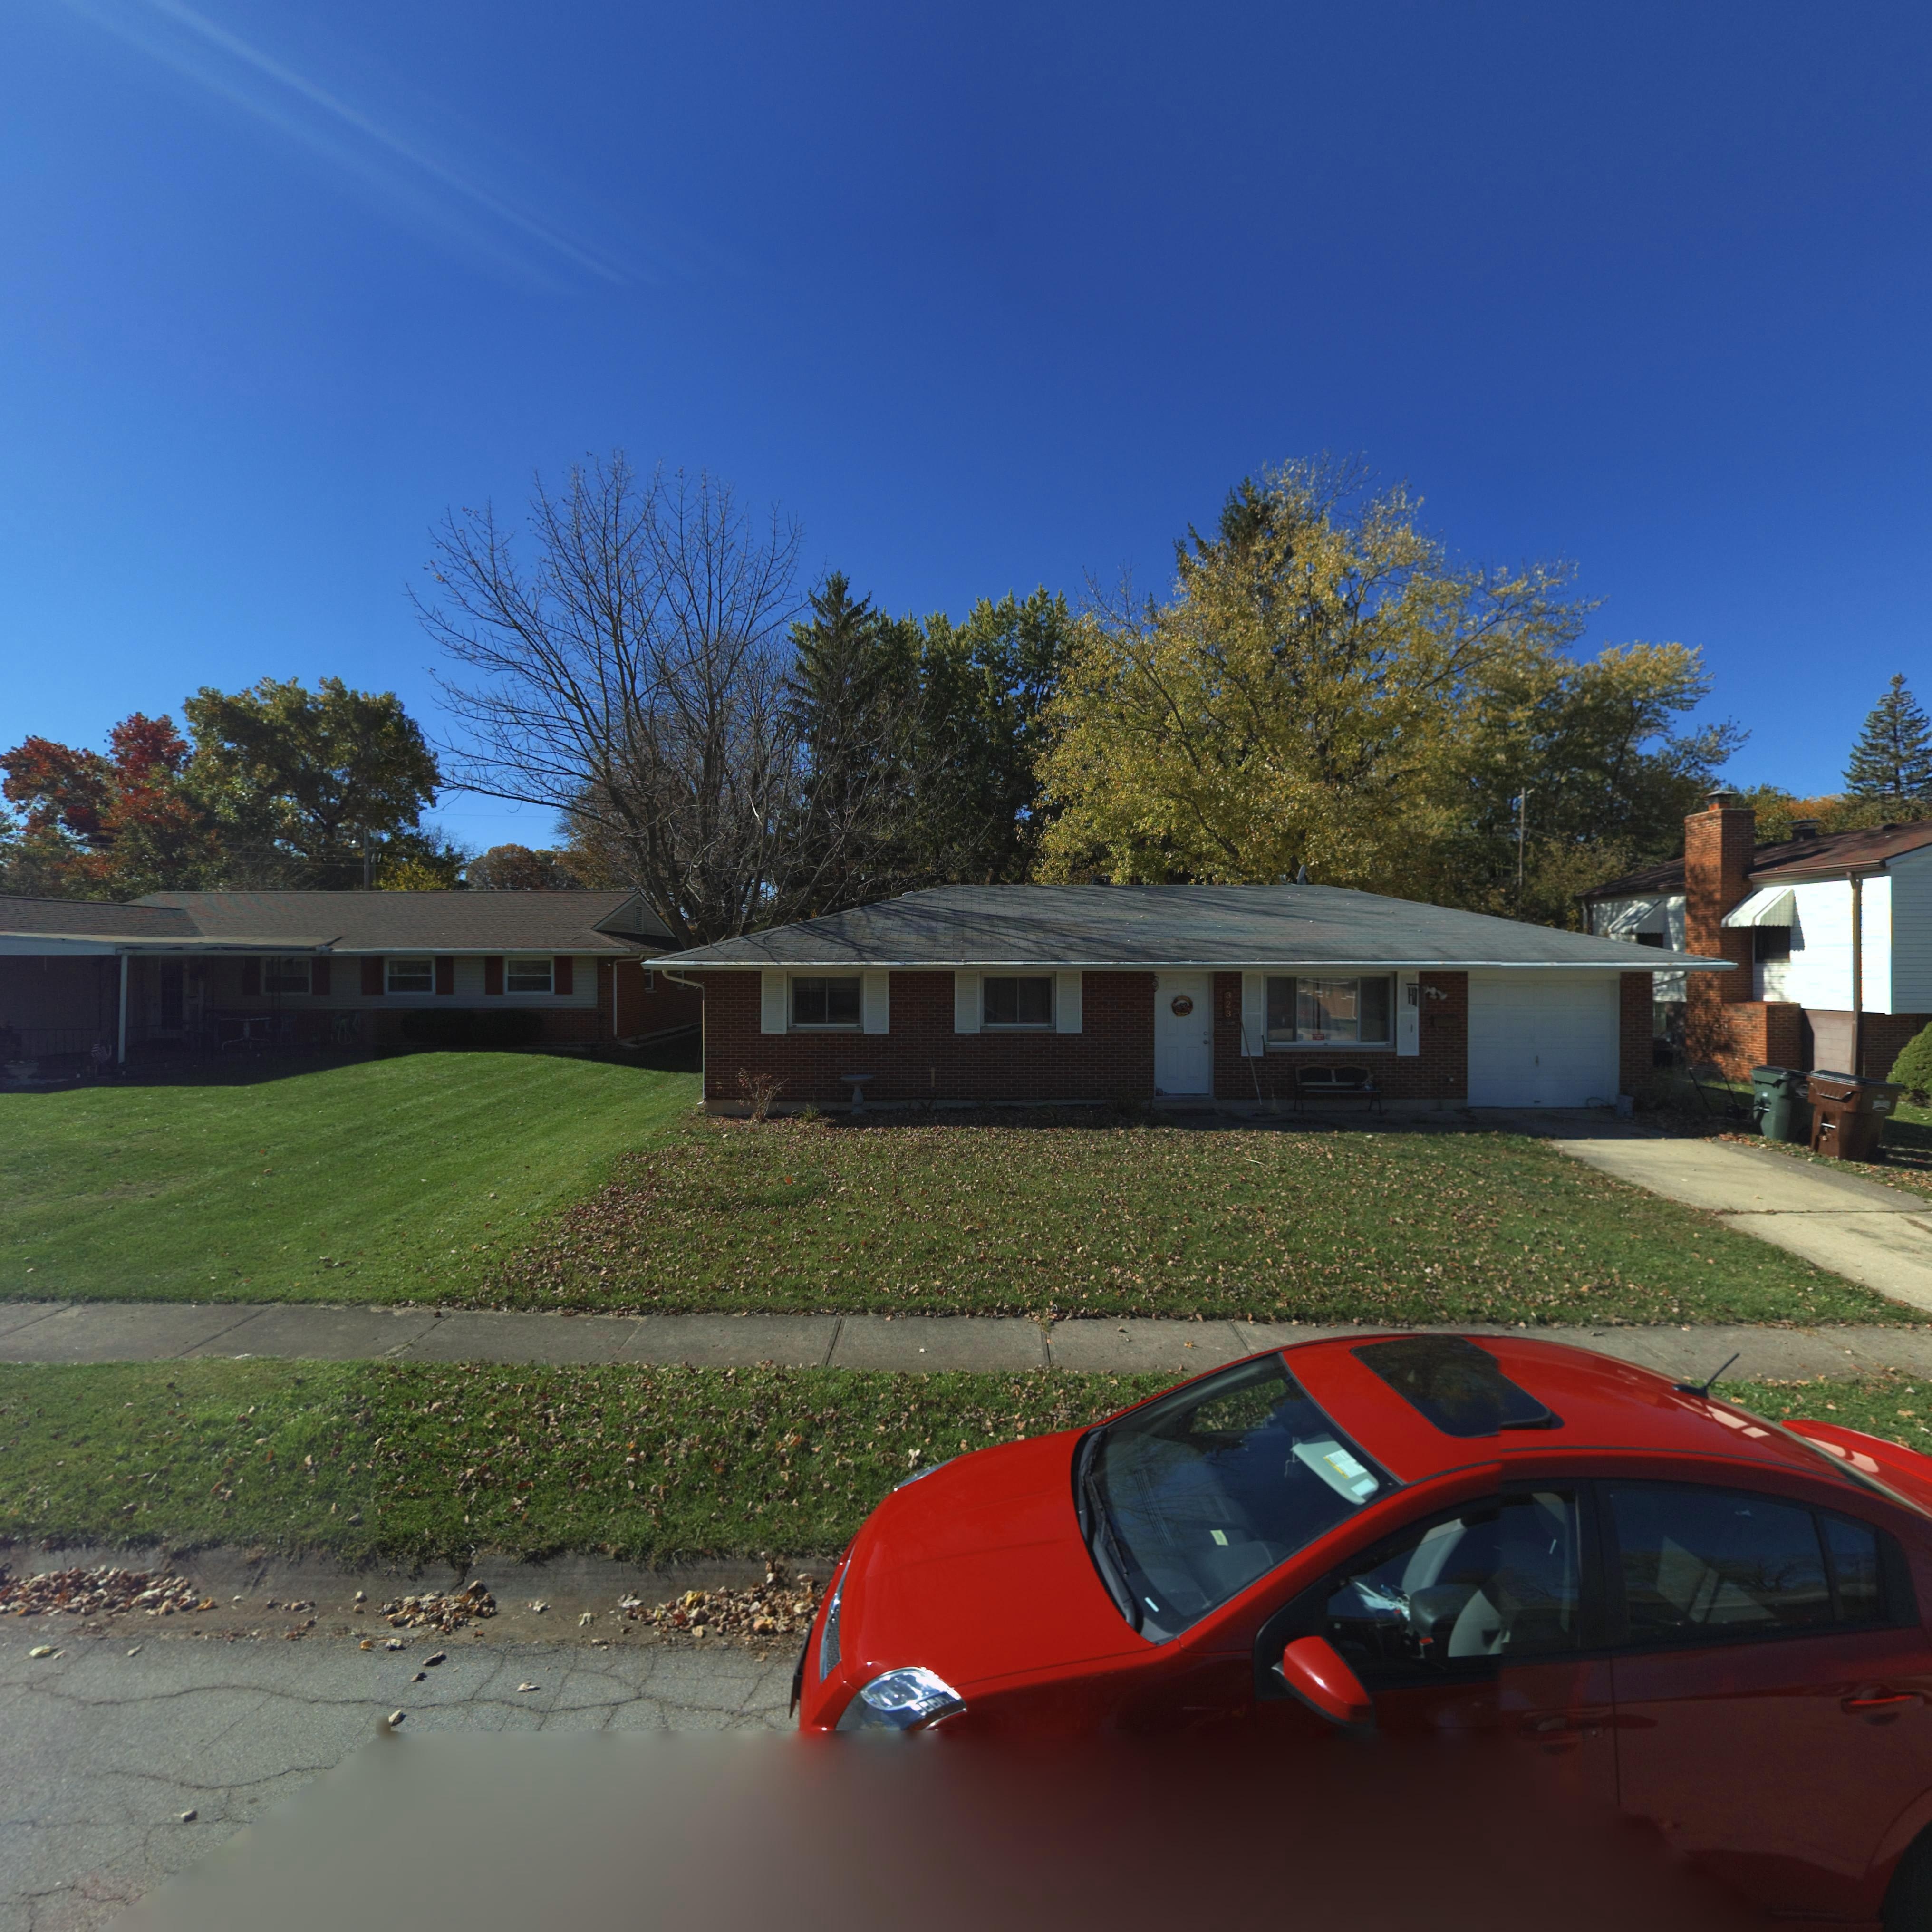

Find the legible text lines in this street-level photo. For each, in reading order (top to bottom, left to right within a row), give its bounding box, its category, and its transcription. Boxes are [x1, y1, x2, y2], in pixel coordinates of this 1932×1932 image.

[1225, 991, 1232, 1018] StreetNumber: 323